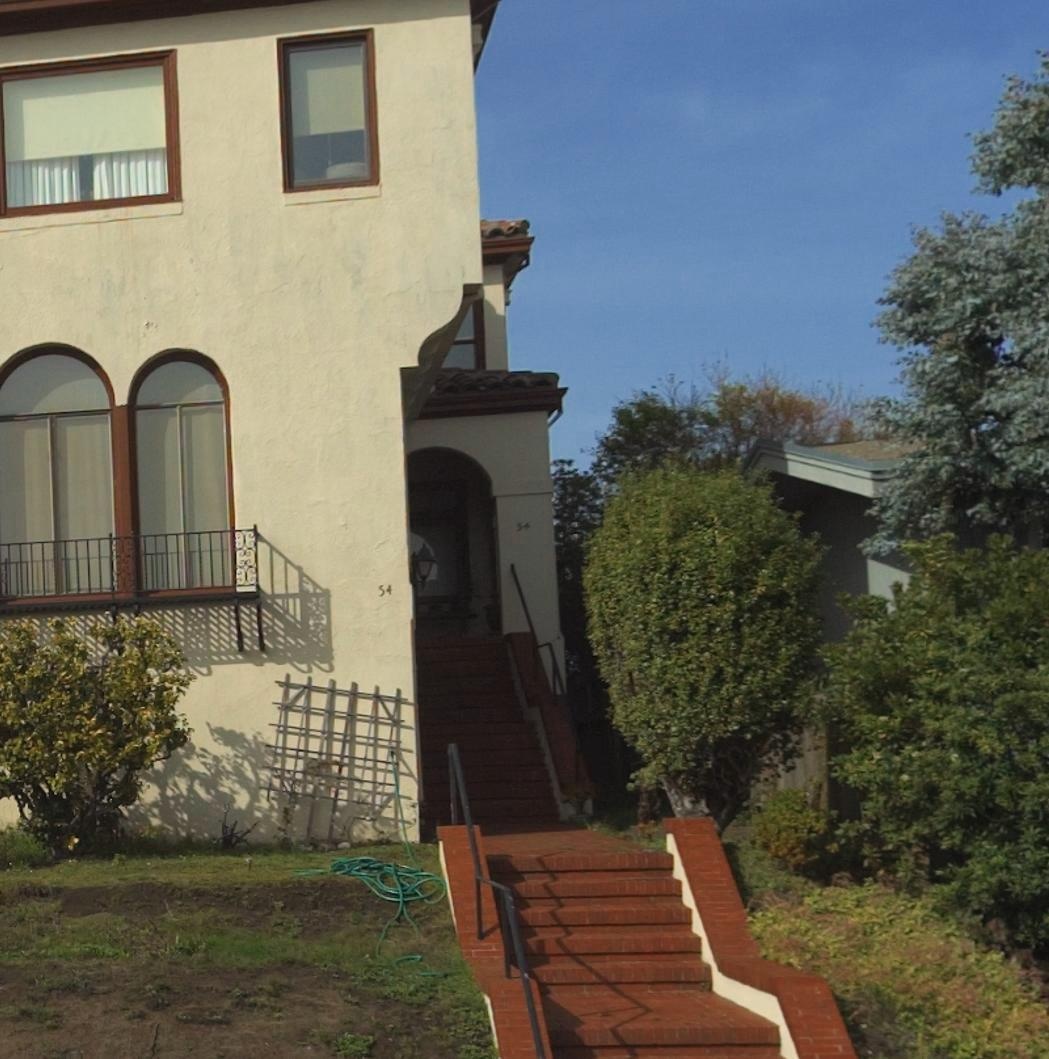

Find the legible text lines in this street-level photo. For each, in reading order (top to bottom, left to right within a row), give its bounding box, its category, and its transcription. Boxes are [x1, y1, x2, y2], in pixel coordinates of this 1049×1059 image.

[514, 520, 532, 533] StreetNumber: 54
[376, 582, 394, 599] StreetNumber: 54